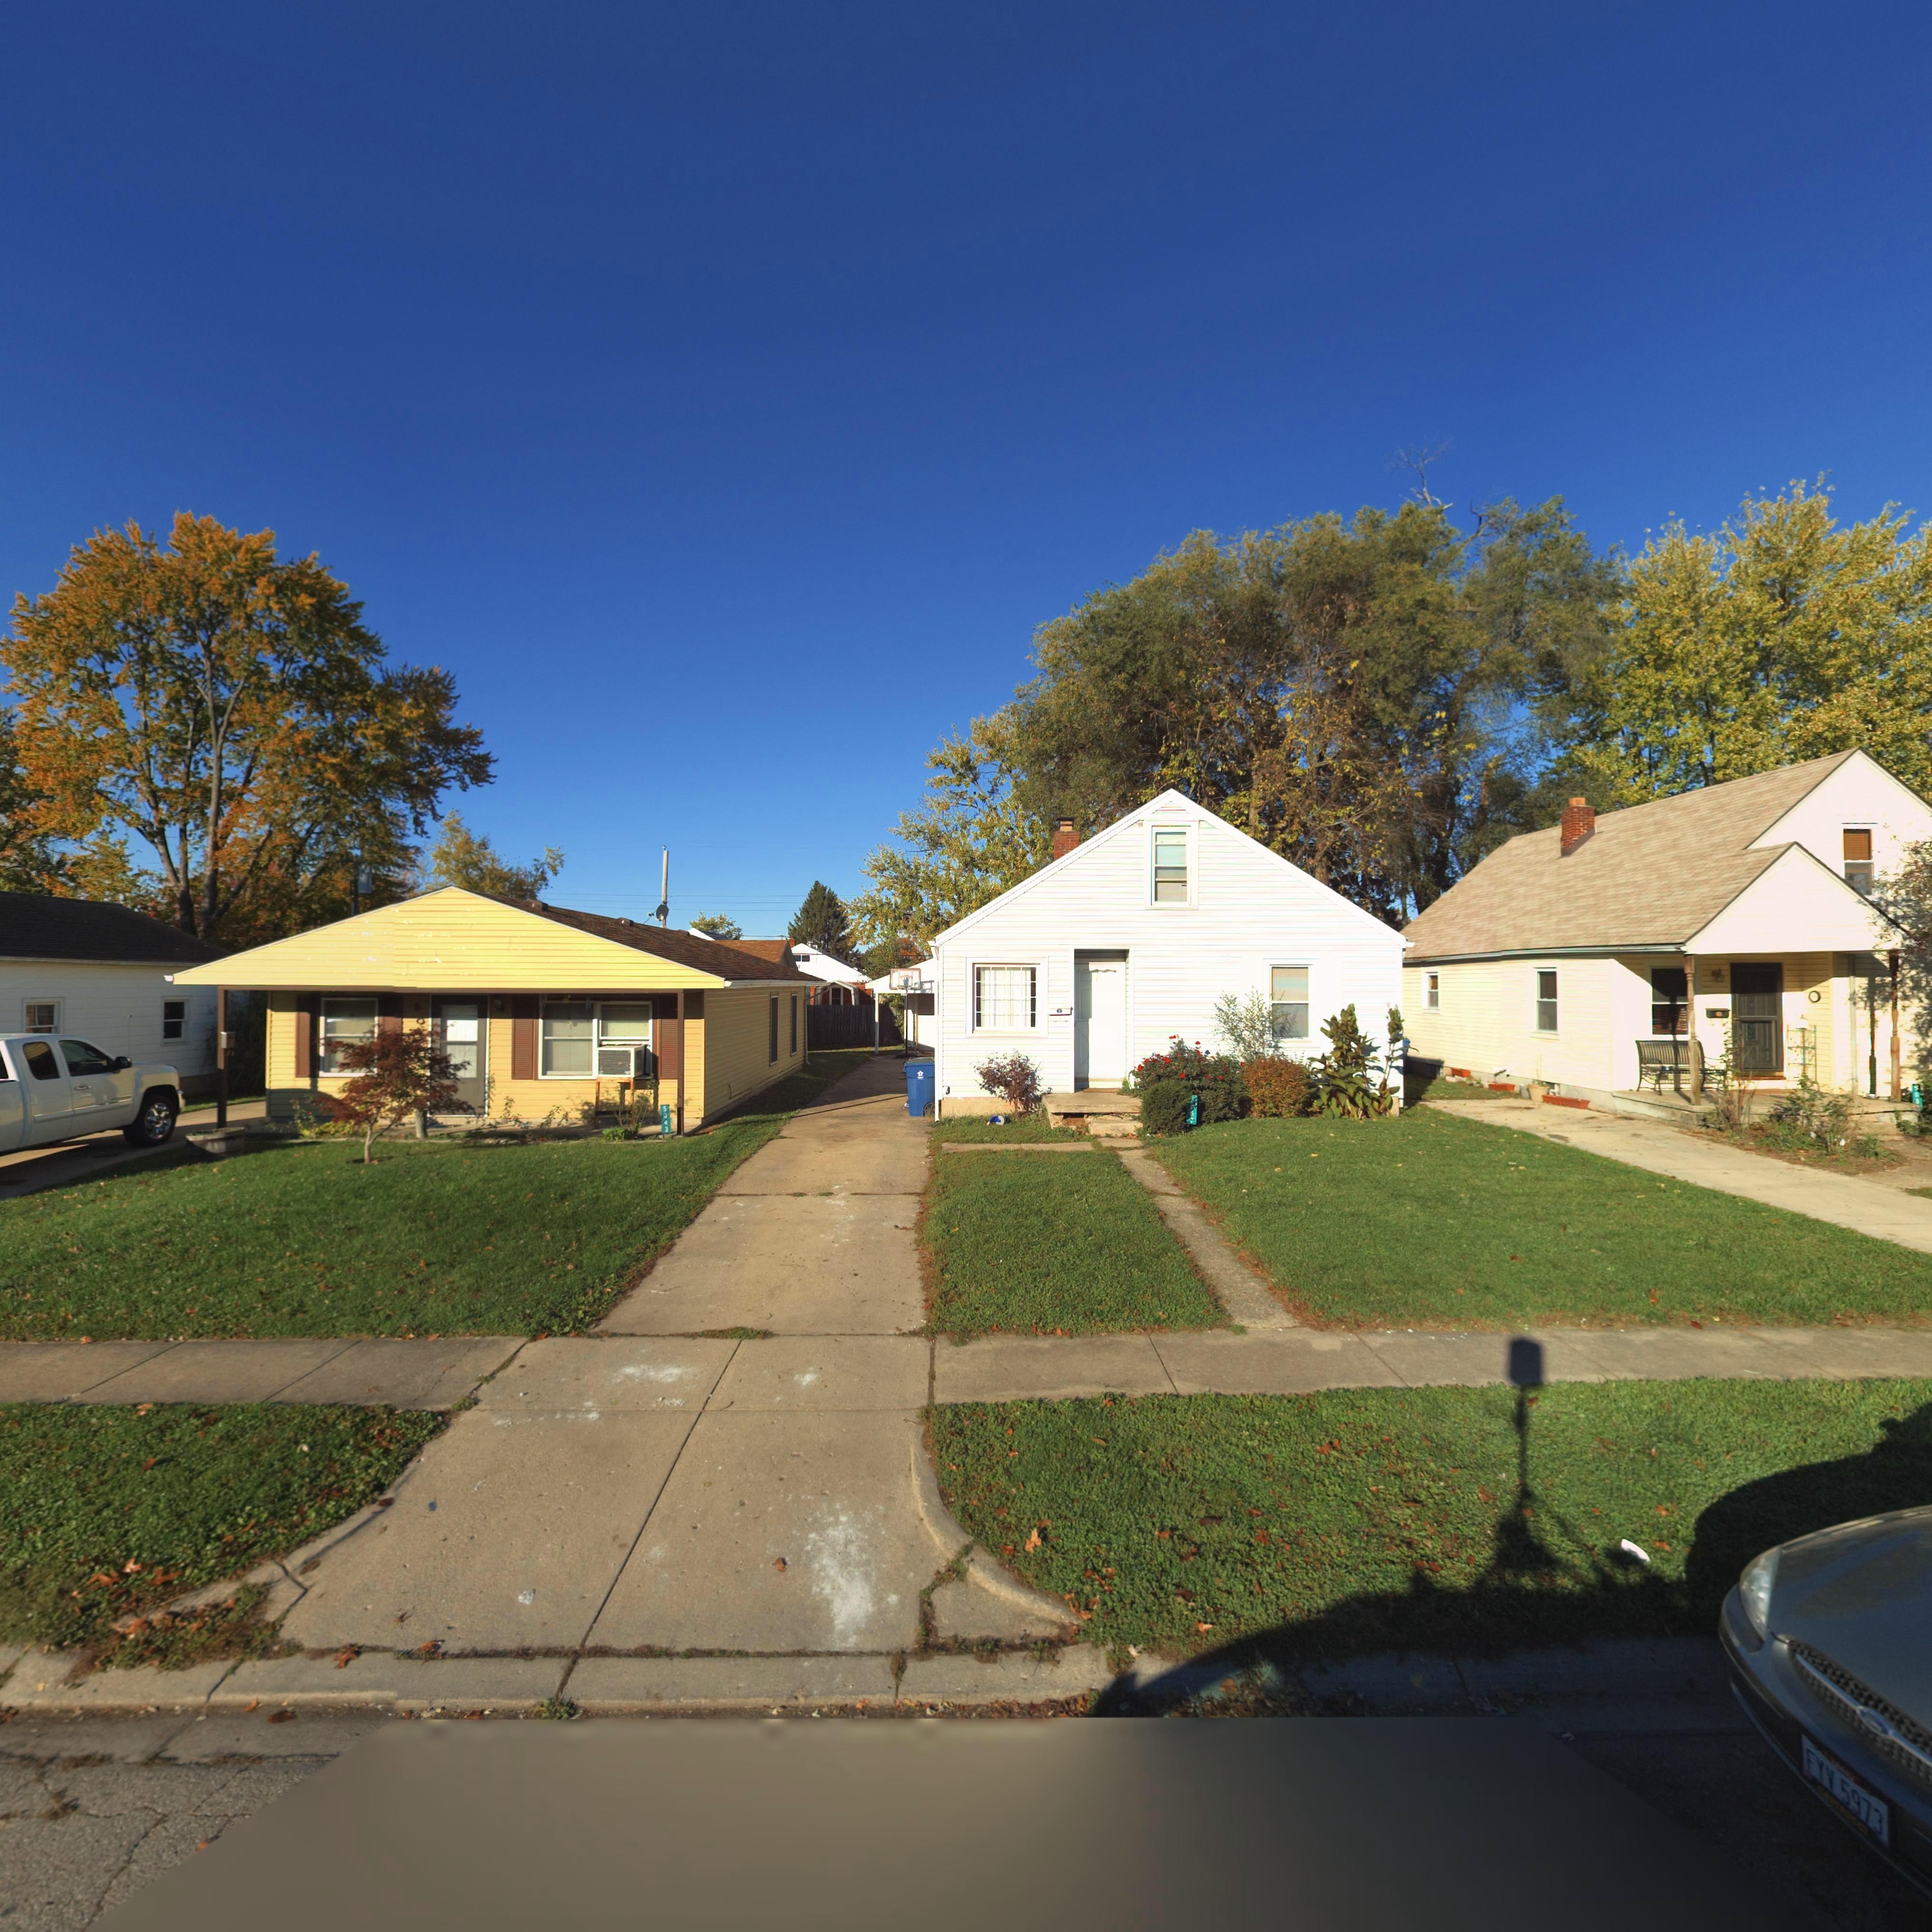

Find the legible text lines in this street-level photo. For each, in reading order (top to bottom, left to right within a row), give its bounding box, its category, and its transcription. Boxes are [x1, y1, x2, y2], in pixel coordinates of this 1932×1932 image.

[662, 1105, 669, 1132] StreetNumber: 5043